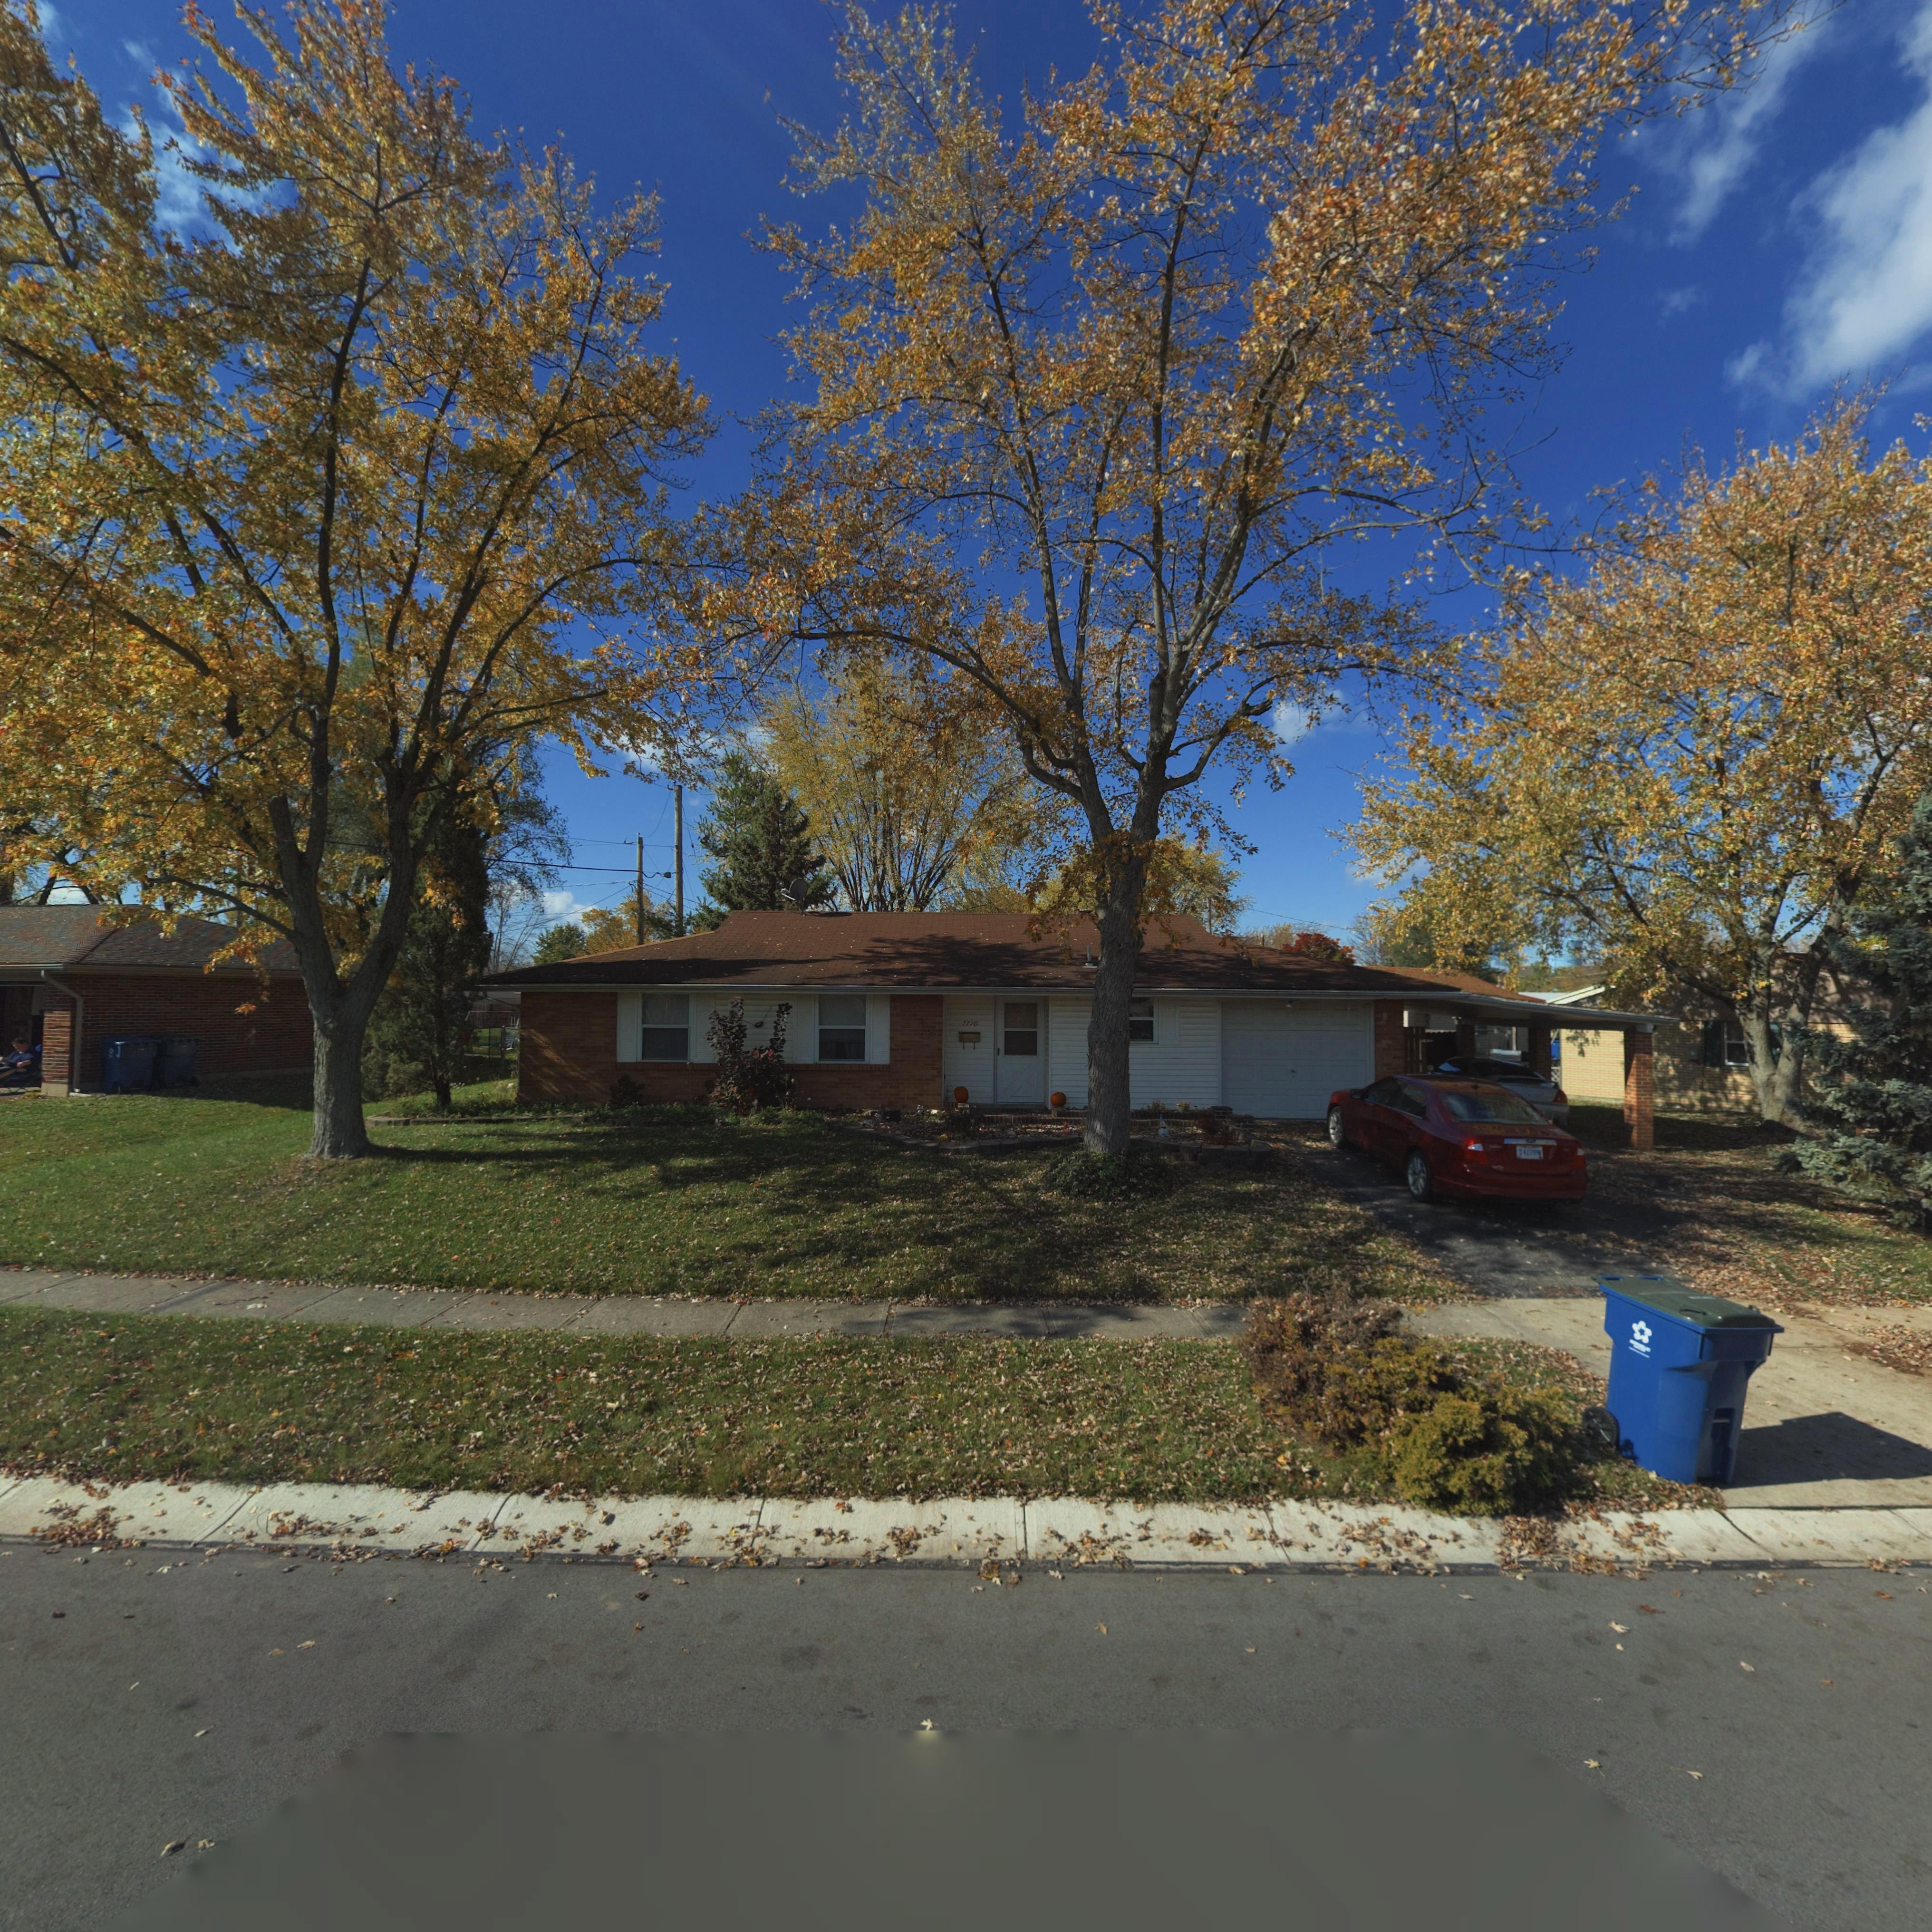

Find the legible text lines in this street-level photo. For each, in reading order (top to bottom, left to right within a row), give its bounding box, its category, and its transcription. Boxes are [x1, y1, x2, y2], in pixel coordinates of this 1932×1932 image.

[961, 1020, 979, 1028] StreetNumber: 7770